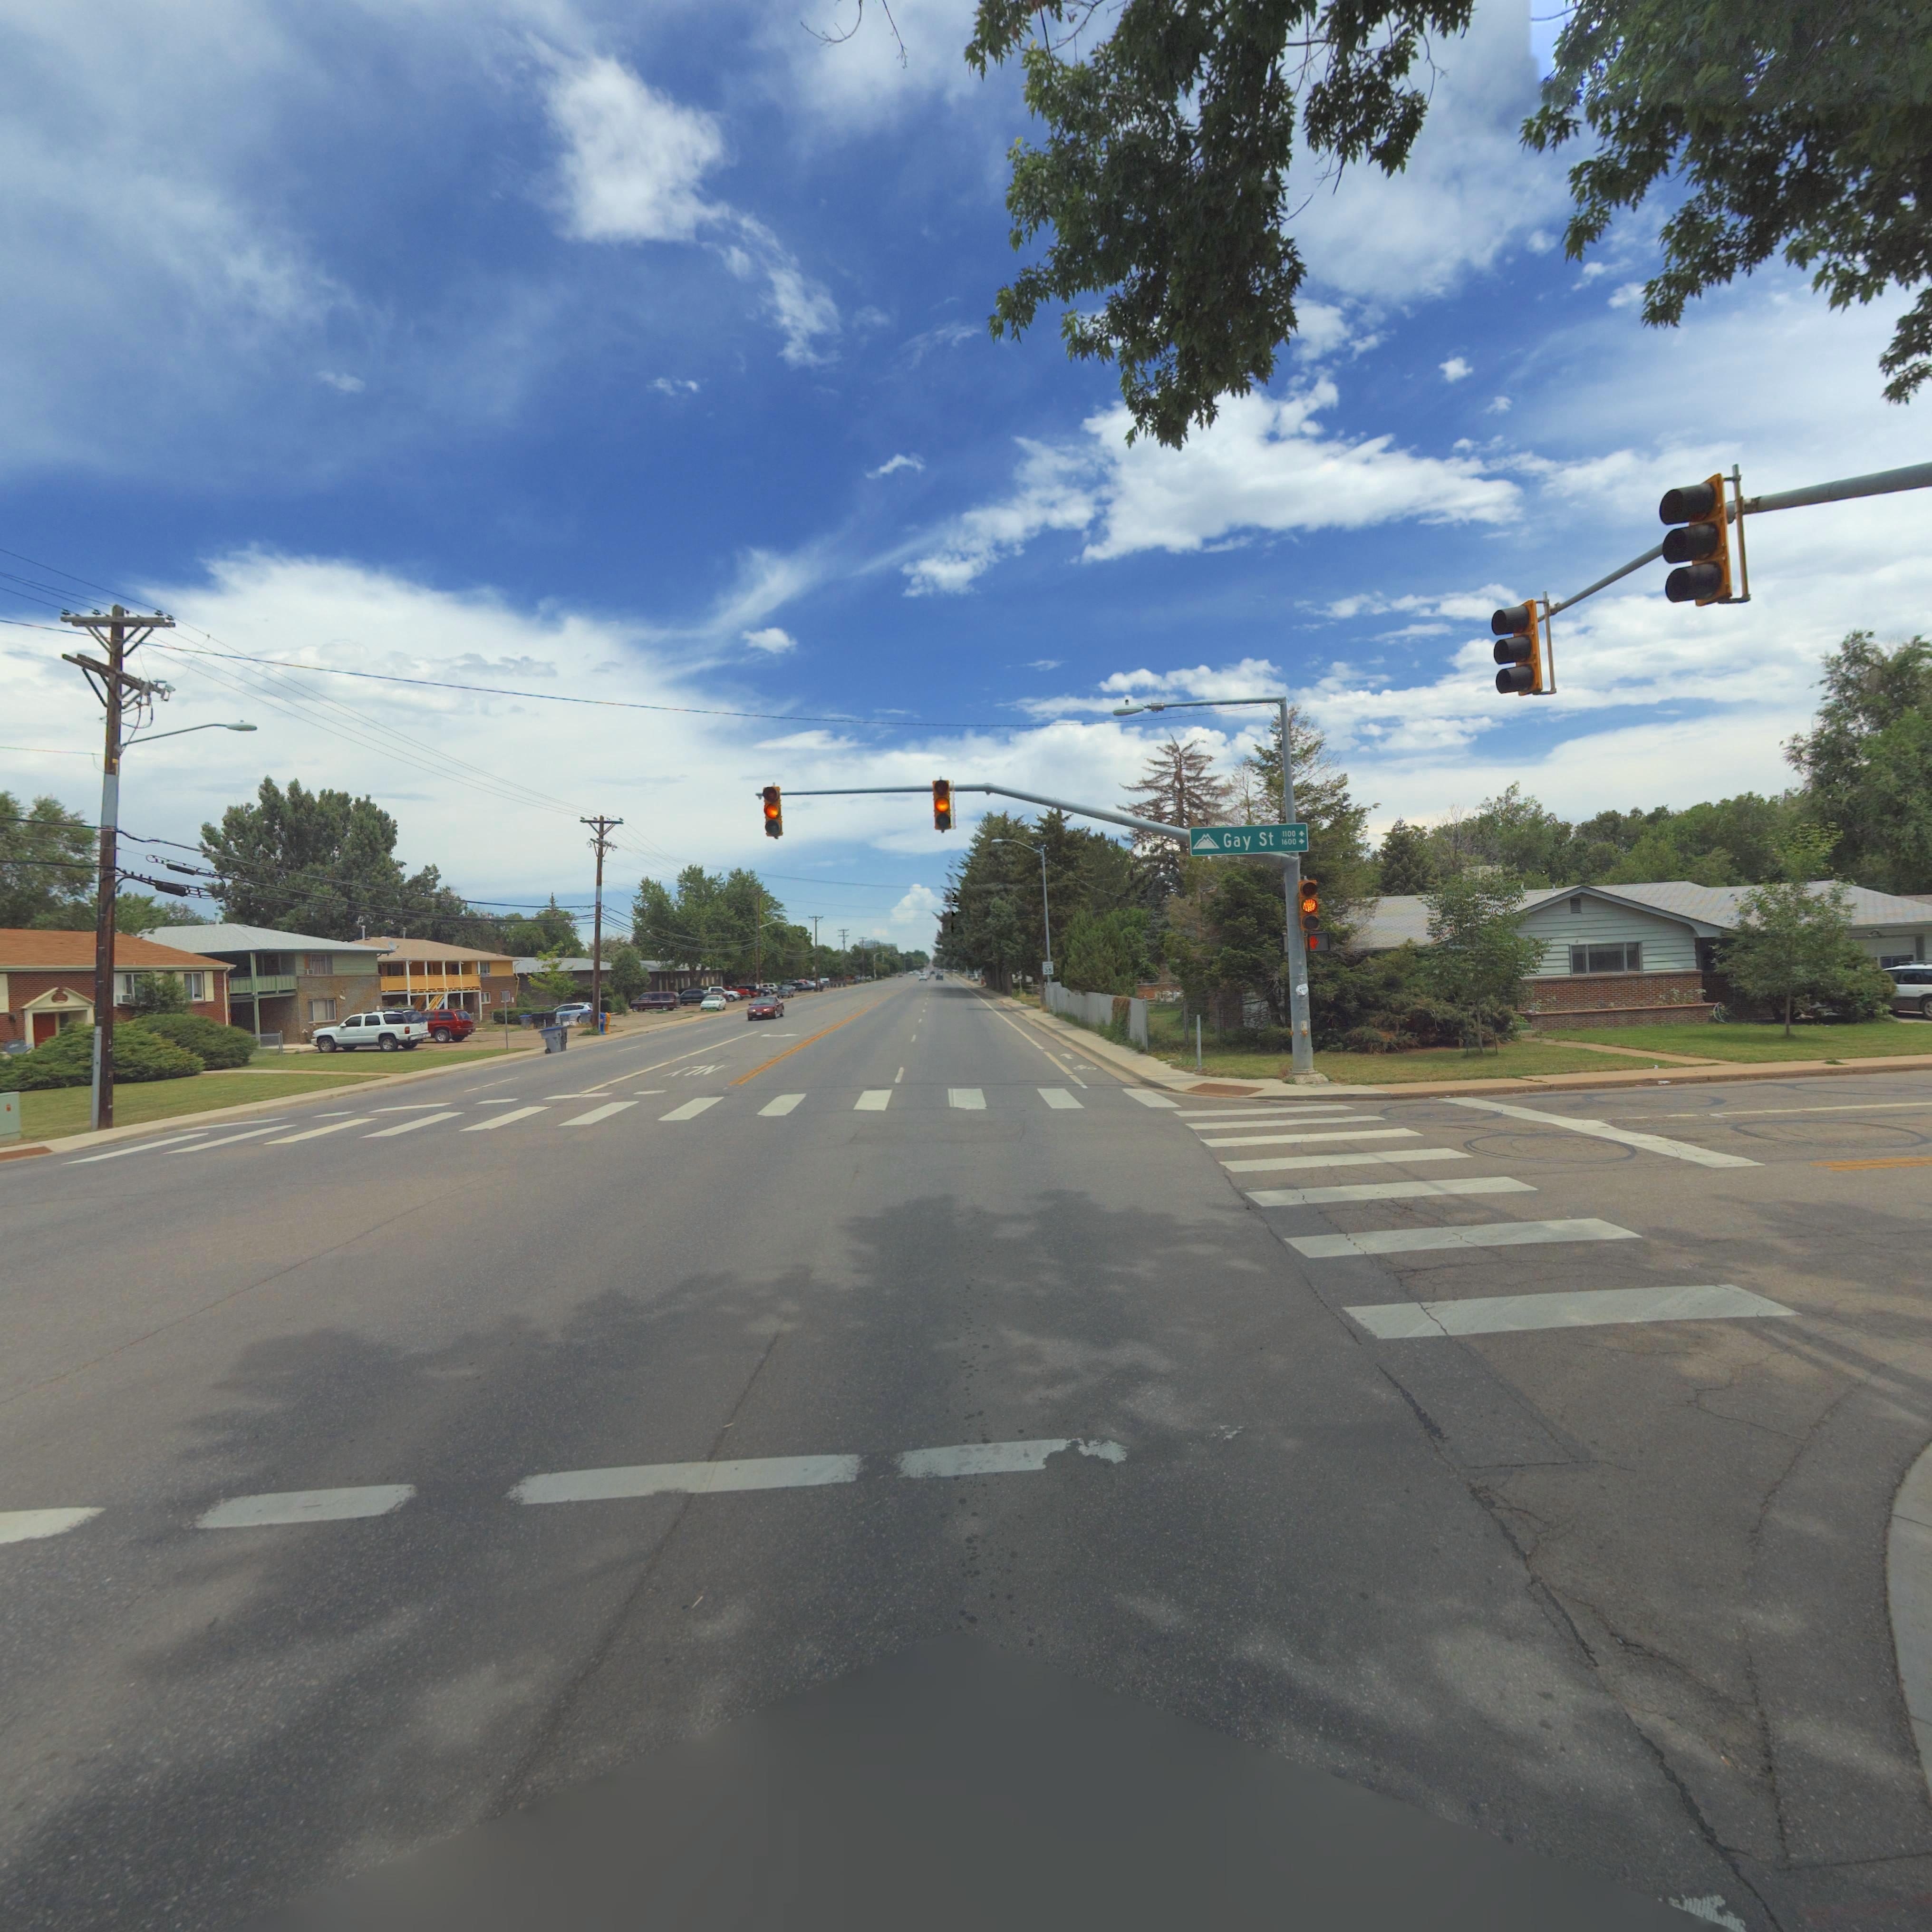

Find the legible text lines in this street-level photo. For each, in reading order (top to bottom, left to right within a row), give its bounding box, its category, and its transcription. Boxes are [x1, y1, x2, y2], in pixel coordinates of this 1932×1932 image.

[1282, 830, 1296, 837] StreetNumberRange: 1100
[1222, 831, 1275, 851] StreetName: Gay St
[1281, 838, 1305, 845] StreetNumberRange: 1600->